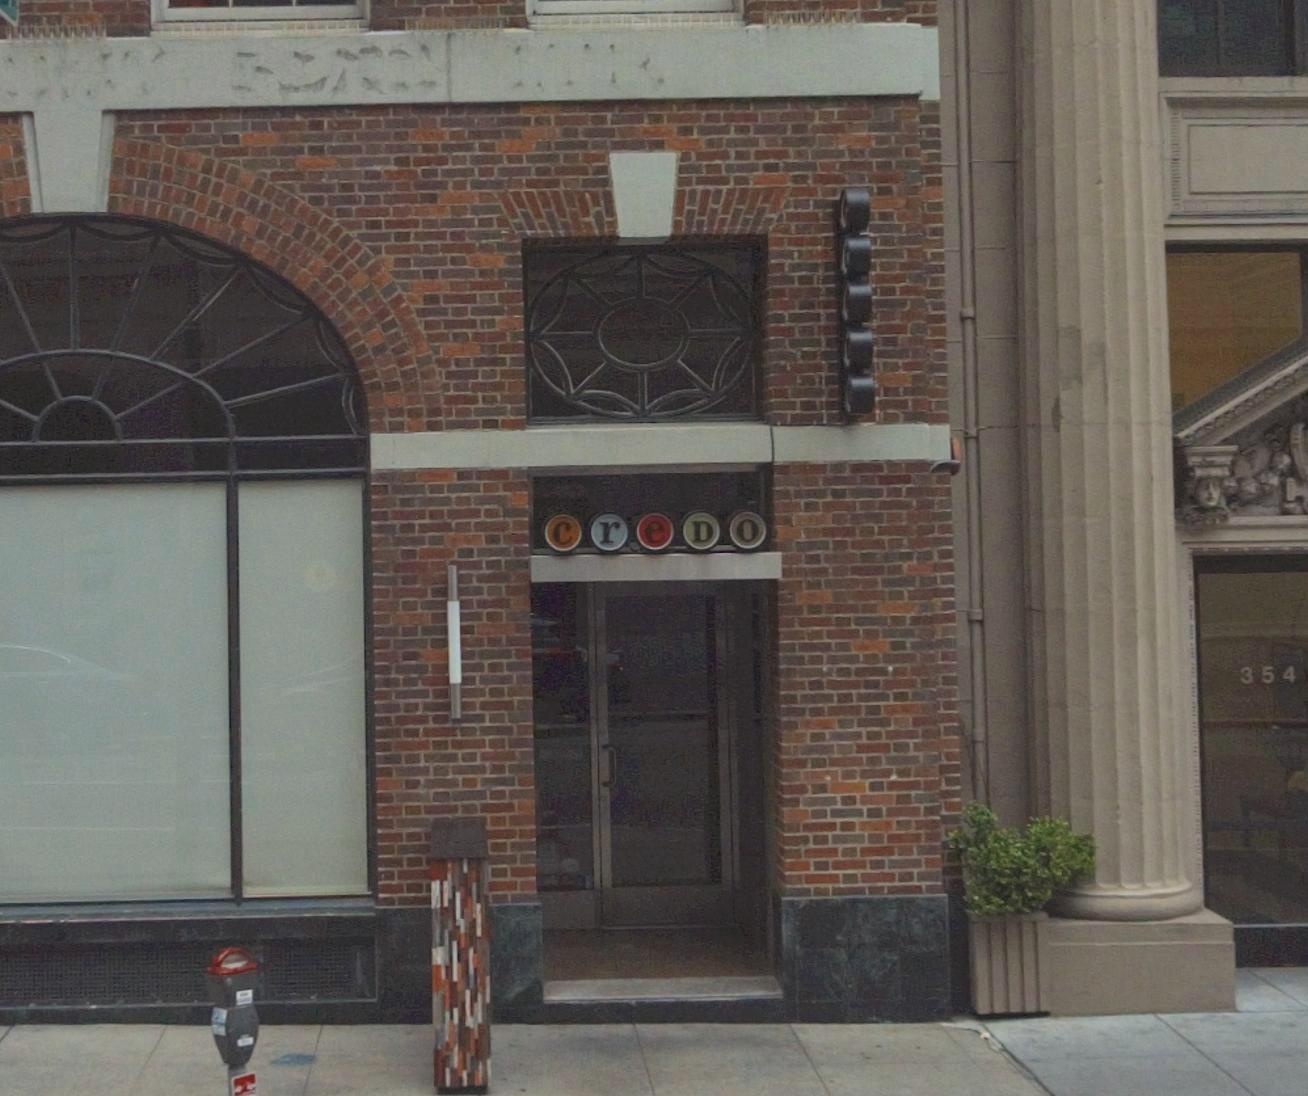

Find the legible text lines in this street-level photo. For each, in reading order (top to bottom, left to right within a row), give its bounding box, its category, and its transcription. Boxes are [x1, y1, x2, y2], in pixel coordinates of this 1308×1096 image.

[548, 515, 763, 547] BusinessName: creDo
[1237, 662, 1298, 688] StreetNumber: 354